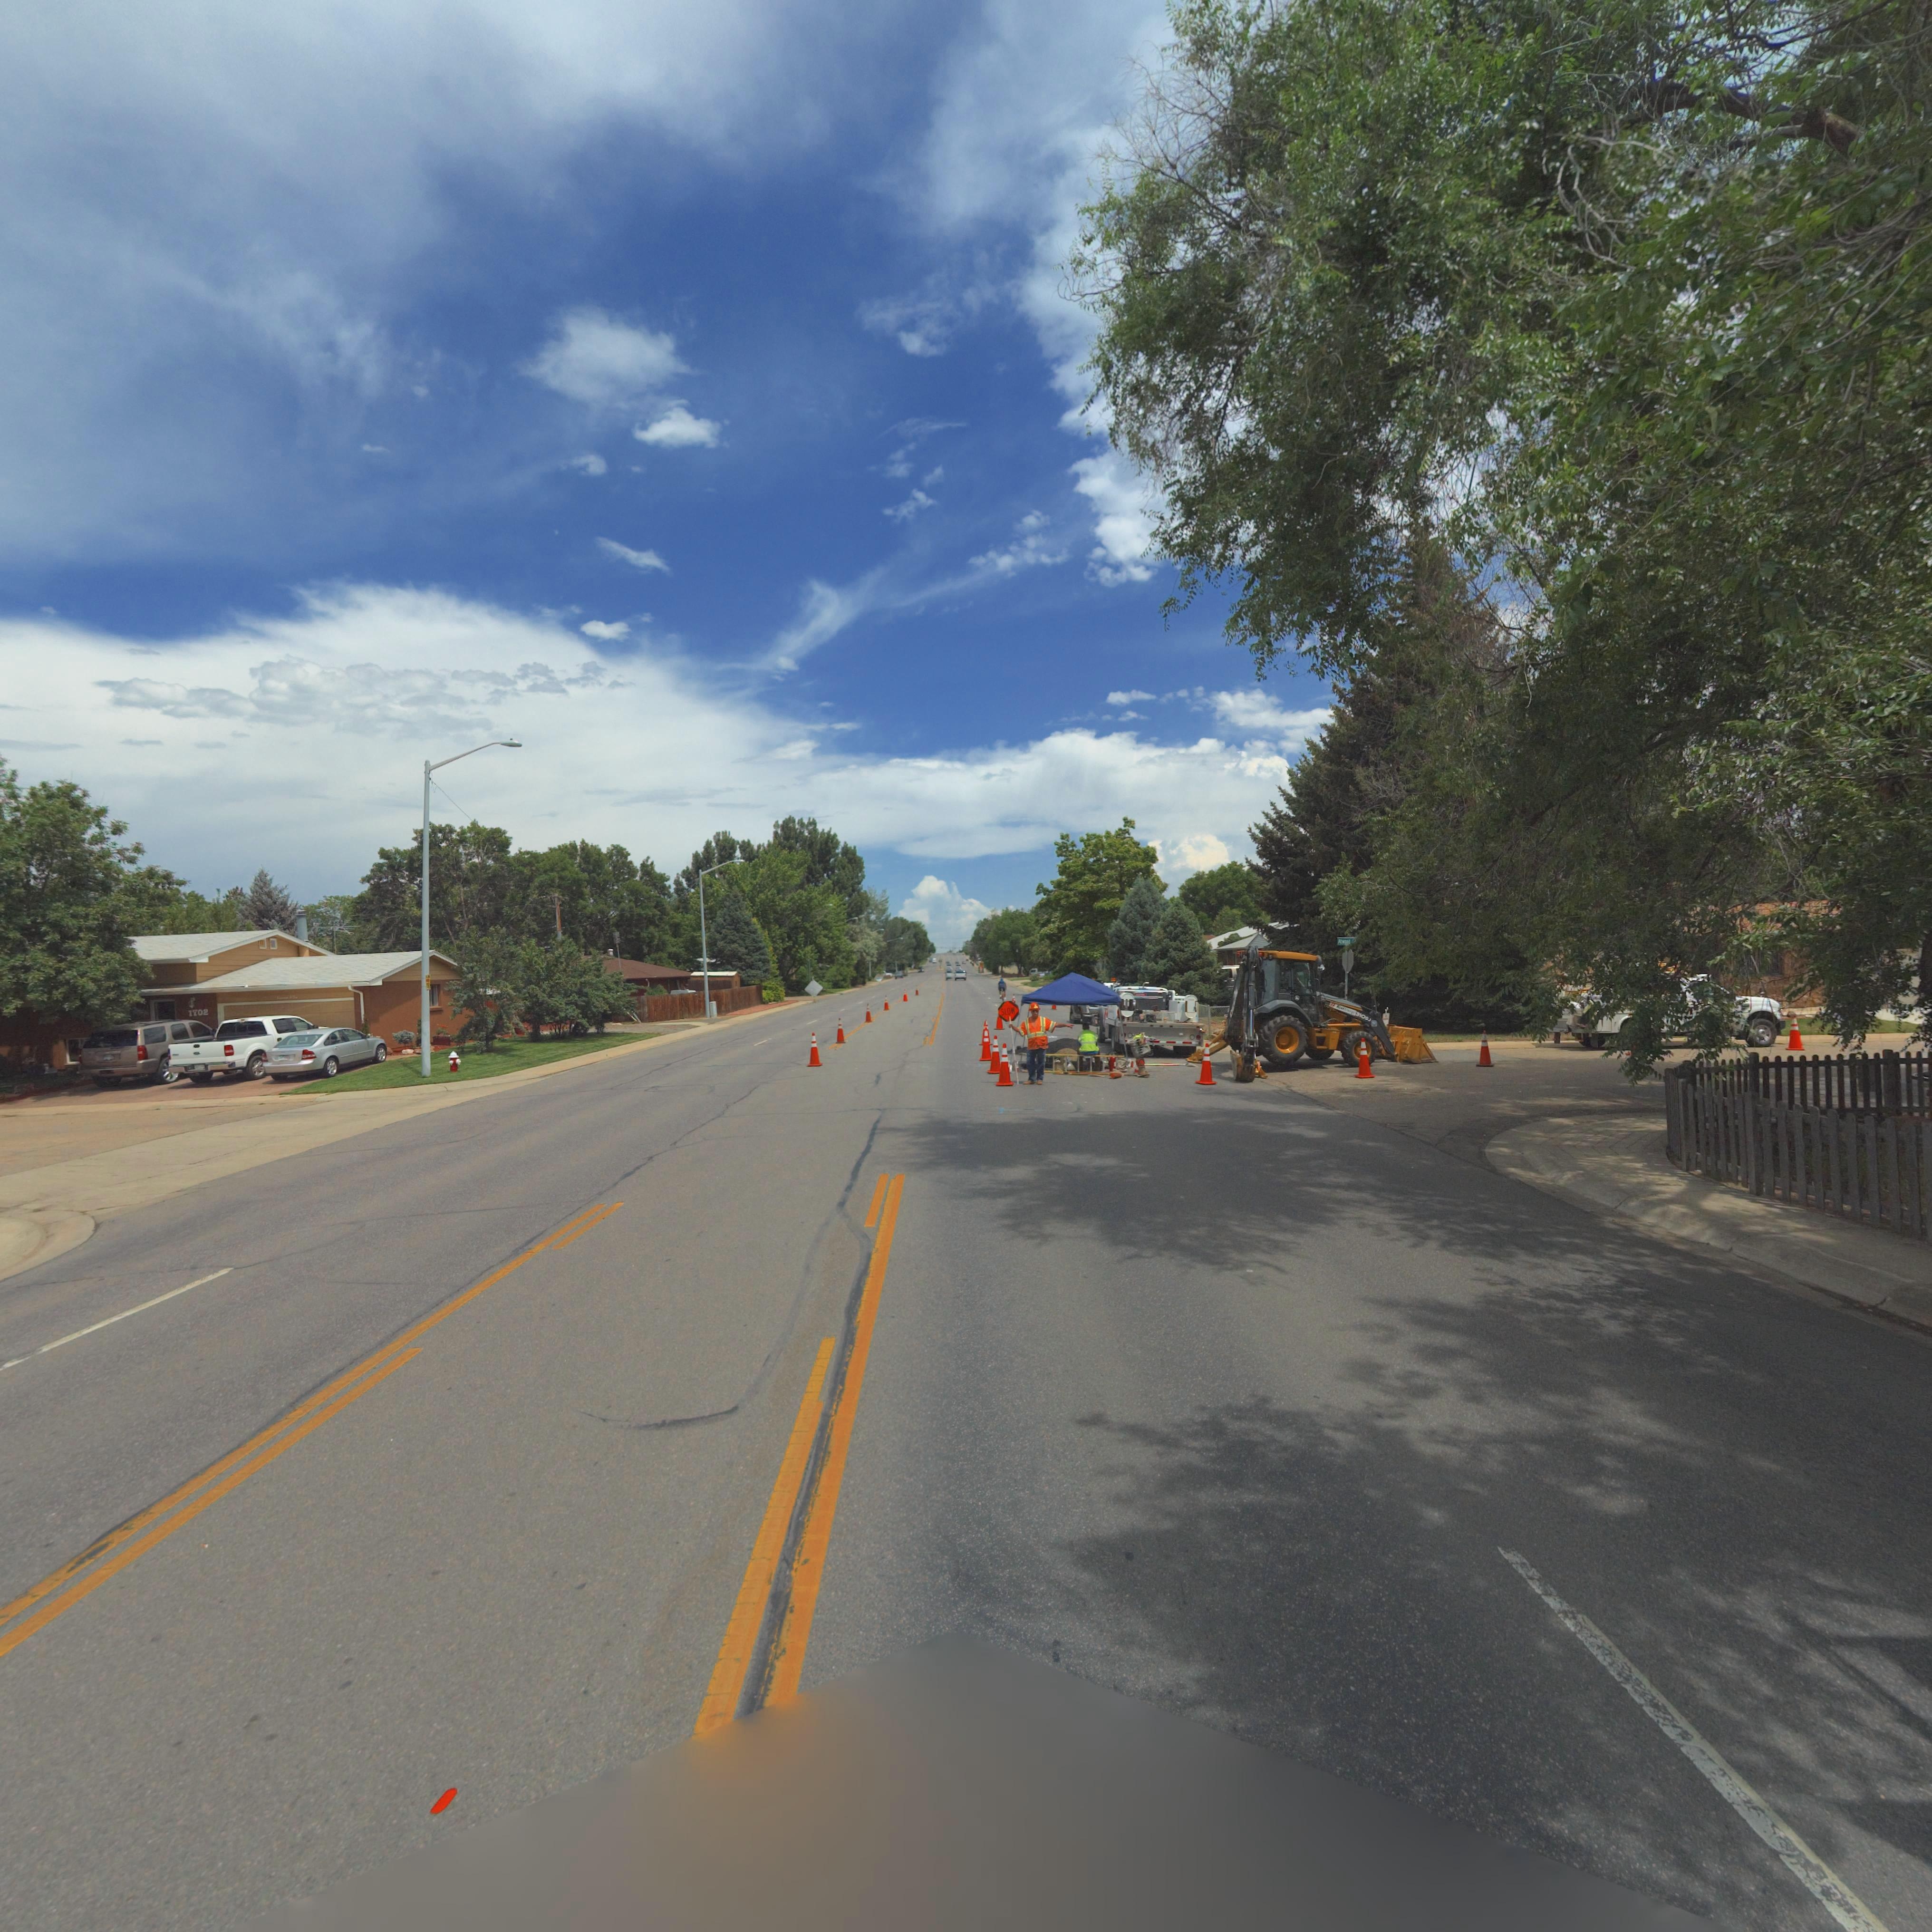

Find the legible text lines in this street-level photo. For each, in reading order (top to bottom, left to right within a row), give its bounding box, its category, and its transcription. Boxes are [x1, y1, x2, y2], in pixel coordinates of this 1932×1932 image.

[189, 1009, 208, 1016] StreetNumber: 1702